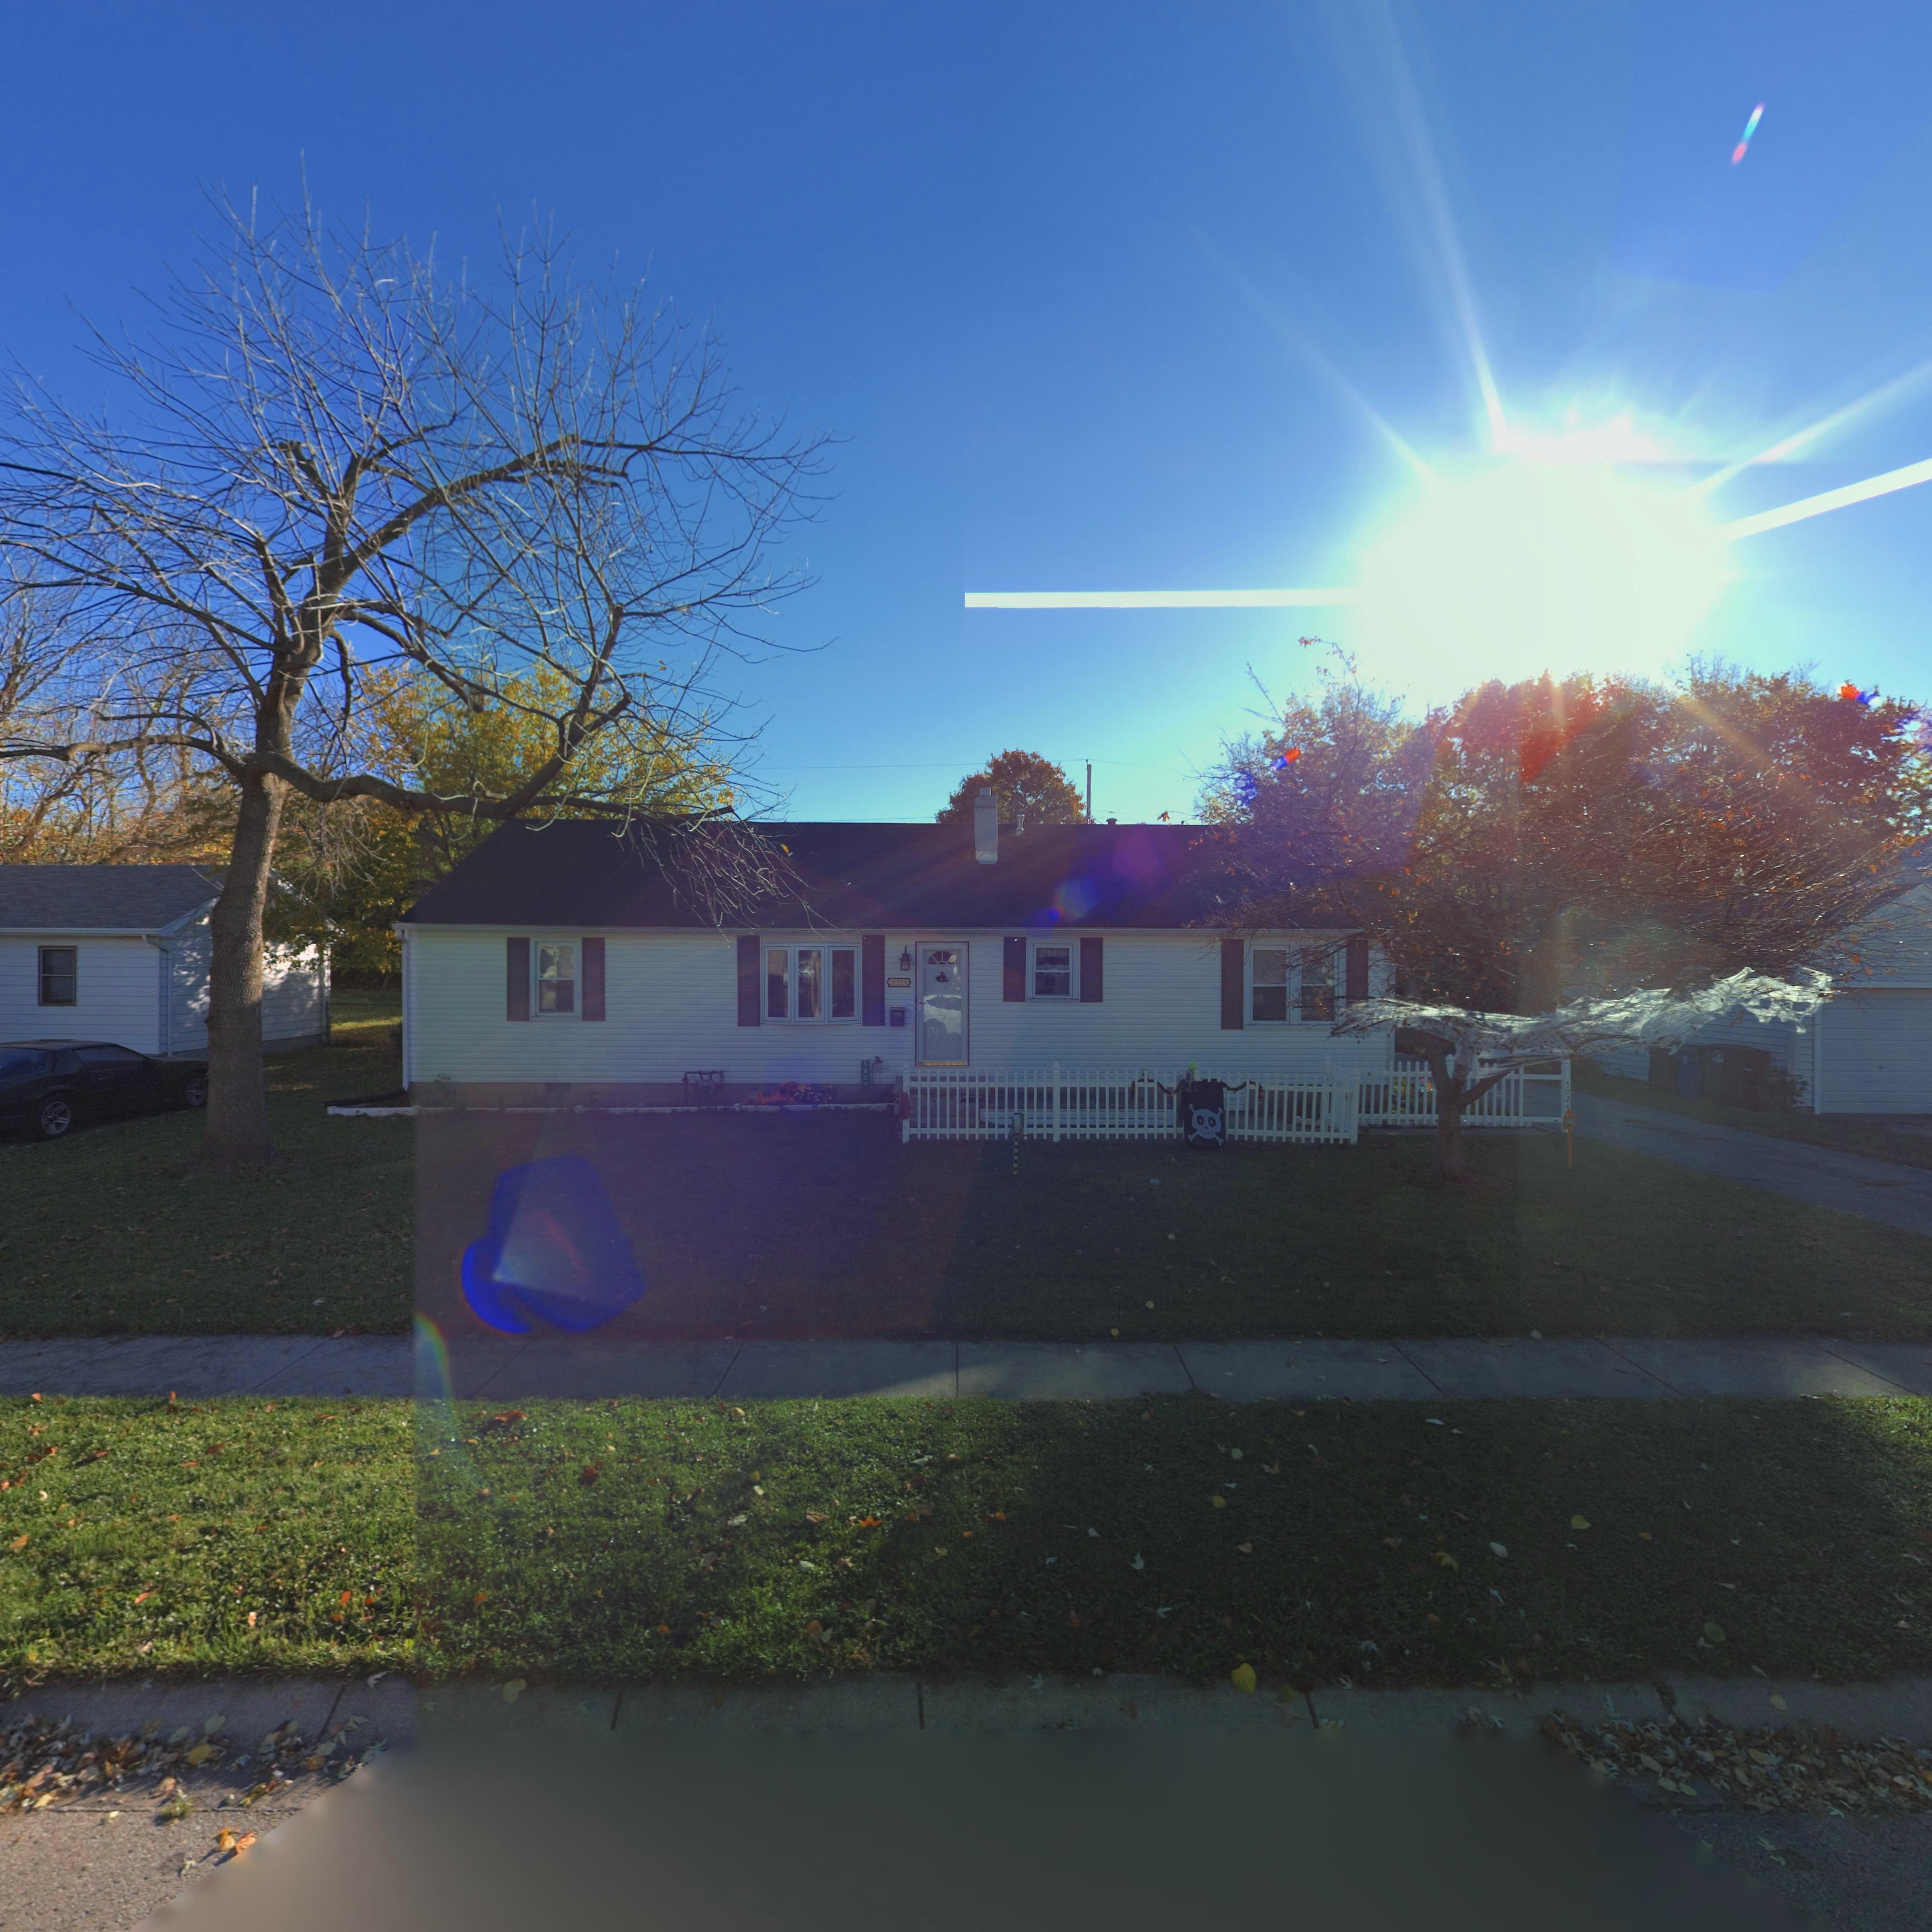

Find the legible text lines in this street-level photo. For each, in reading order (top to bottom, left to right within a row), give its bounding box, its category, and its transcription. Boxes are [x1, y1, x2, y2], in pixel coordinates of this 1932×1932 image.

[889, 979, 908, 985] StreetNumber: 5024
[863, 1060, 868, 1087] StreetNumber: 502*